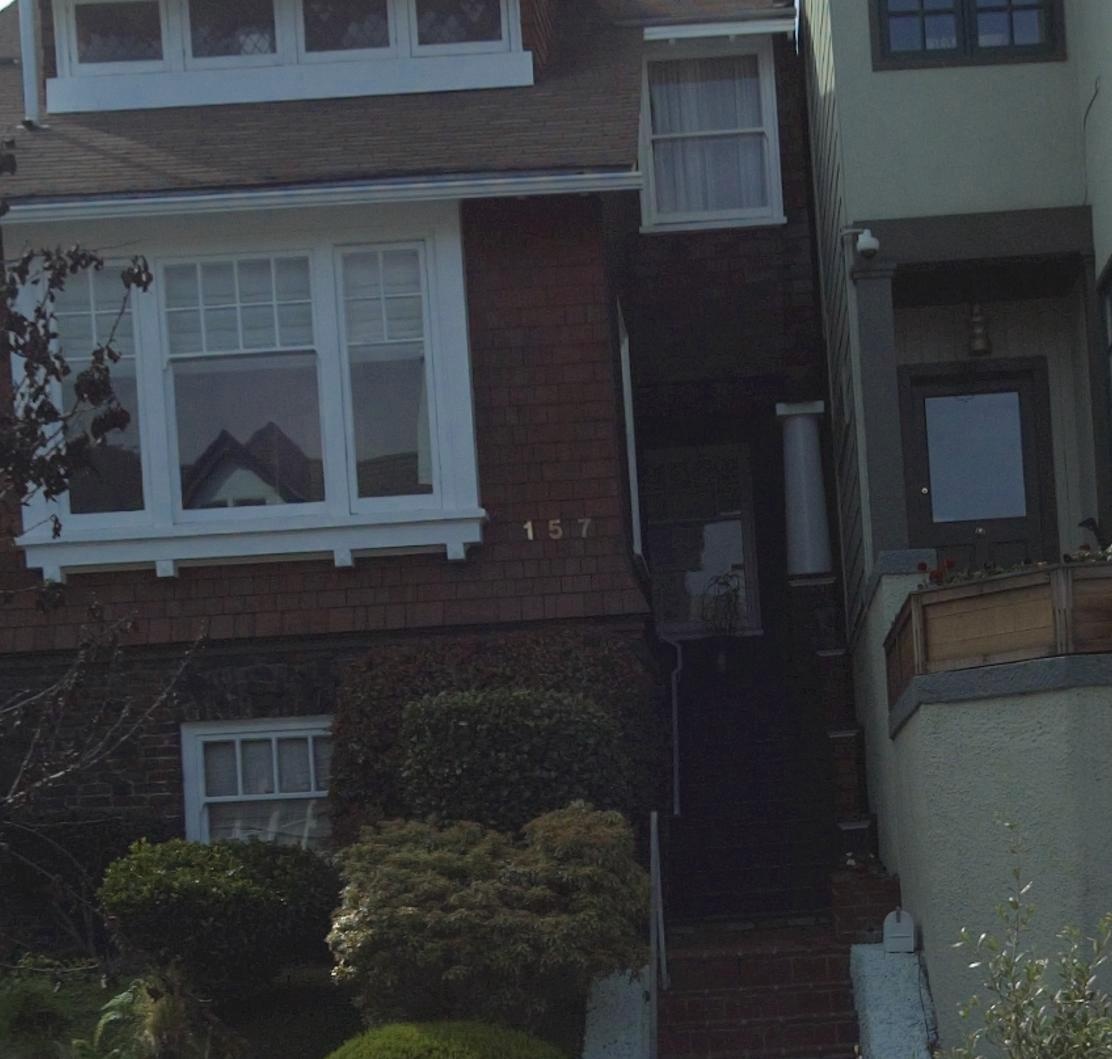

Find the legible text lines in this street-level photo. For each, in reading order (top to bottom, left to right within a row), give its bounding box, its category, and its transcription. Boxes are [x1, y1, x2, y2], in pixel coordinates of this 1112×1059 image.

[520, 516, 594, 542] StreetNumber: 157